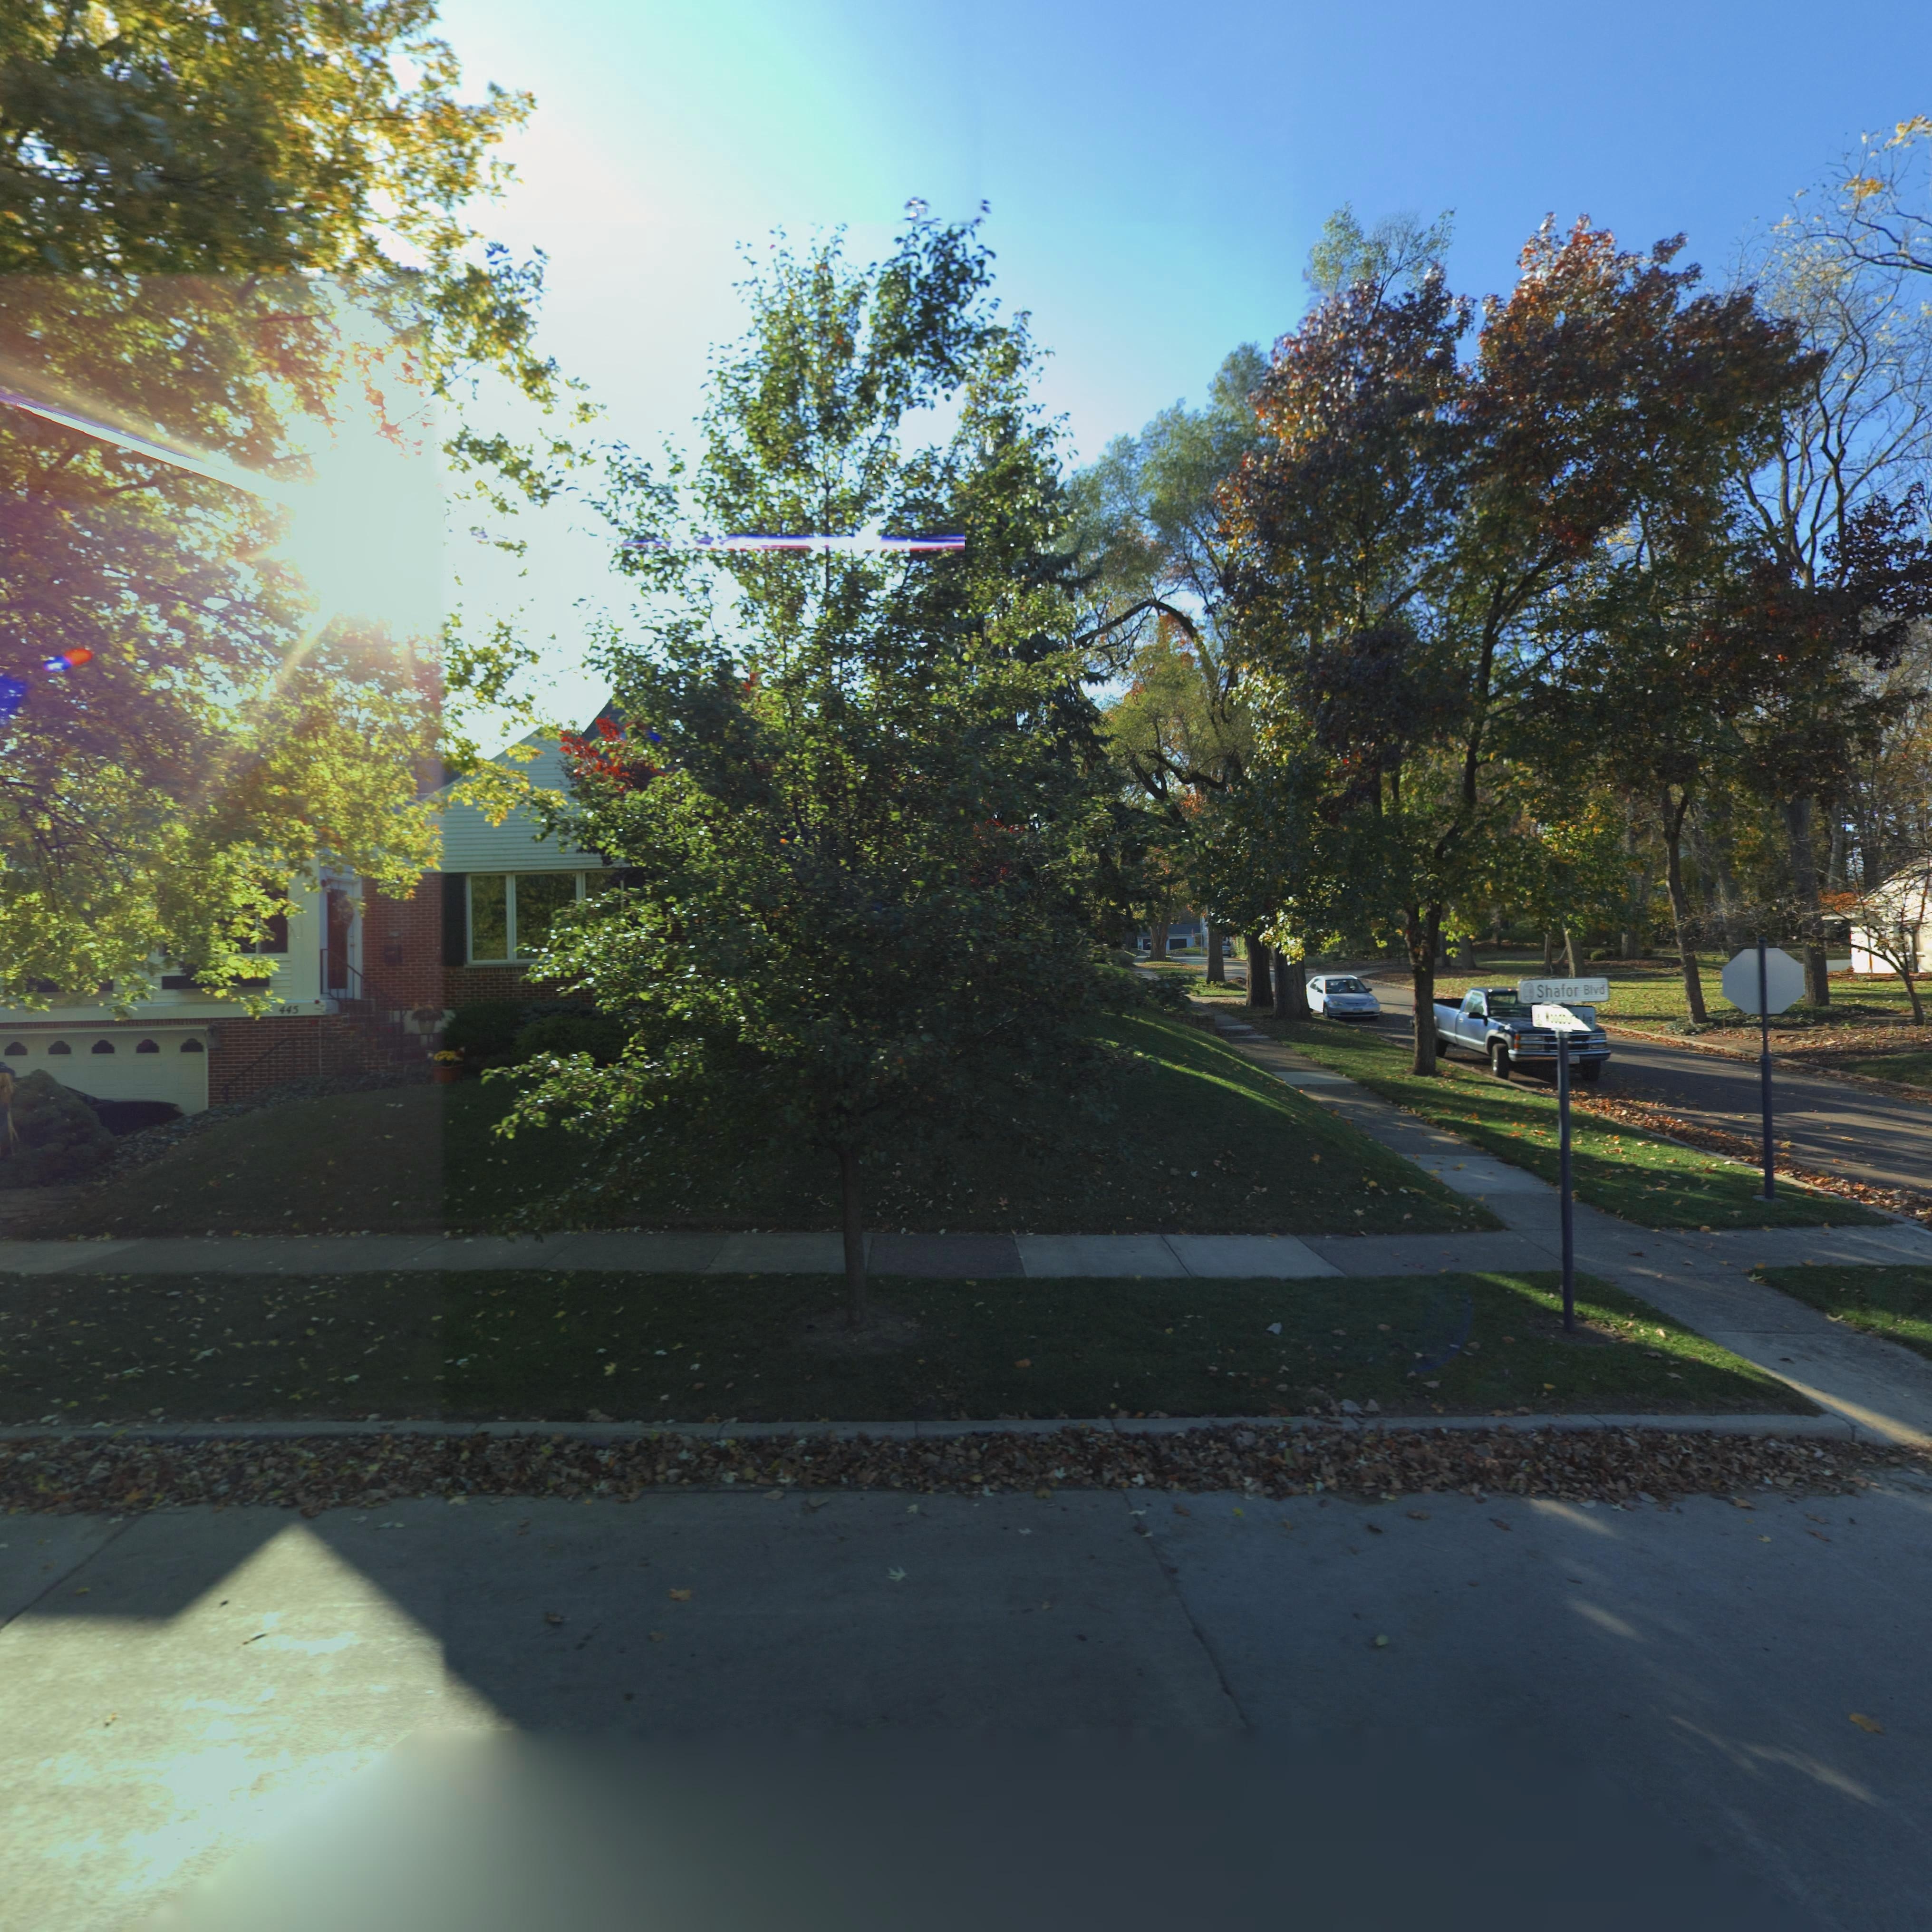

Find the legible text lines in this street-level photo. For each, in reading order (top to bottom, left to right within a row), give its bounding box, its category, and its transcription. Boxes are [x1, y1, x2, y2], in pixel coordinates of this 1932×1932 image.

[1536, 983, 1606, 999] StreetName: Shafor Blvd
[278, 1005, 299, 1014] StreetNumber: 445
[1544, 1007, 1594, 1026] StreetName: Woodburn Ave